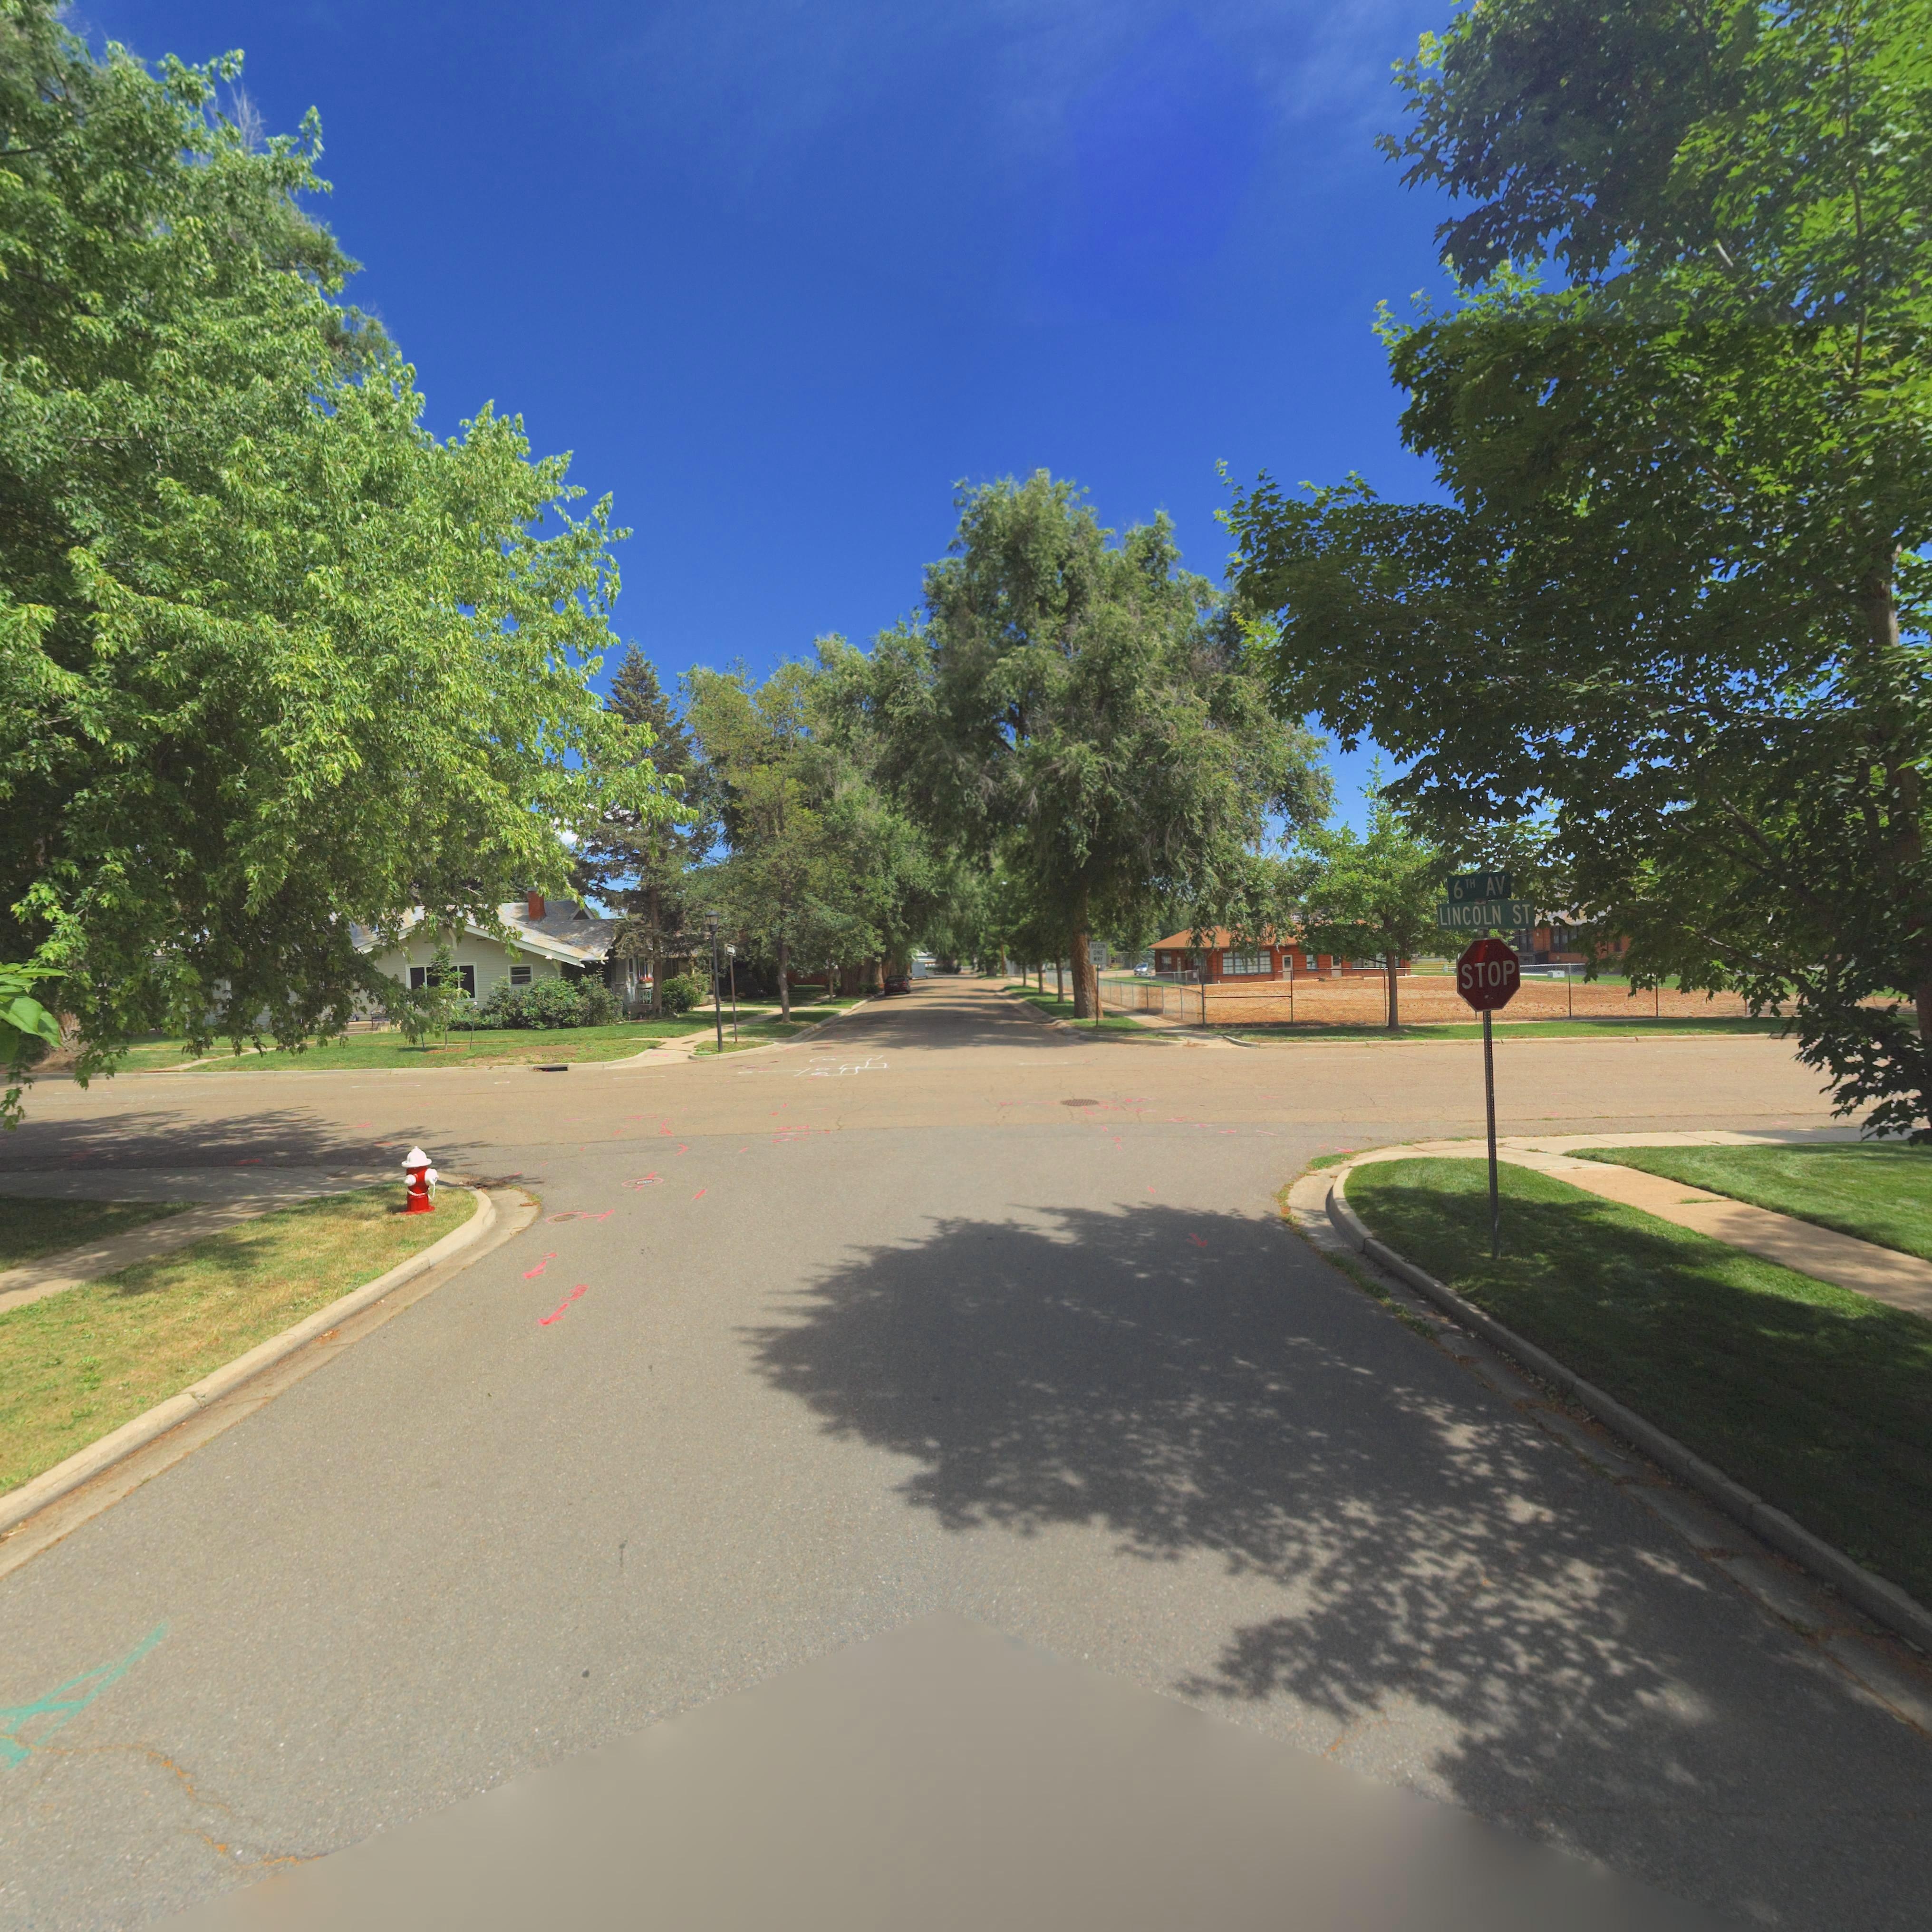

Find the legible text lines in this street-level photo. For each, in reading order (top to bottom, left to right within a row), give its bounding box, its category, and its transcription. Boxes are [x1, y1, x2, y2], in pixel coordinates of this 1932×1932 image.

[1453, 875, 1505, 900] StreetName: 6TH AV
[1439, 904, 1531, 925] StreetName: LINCOLN ST